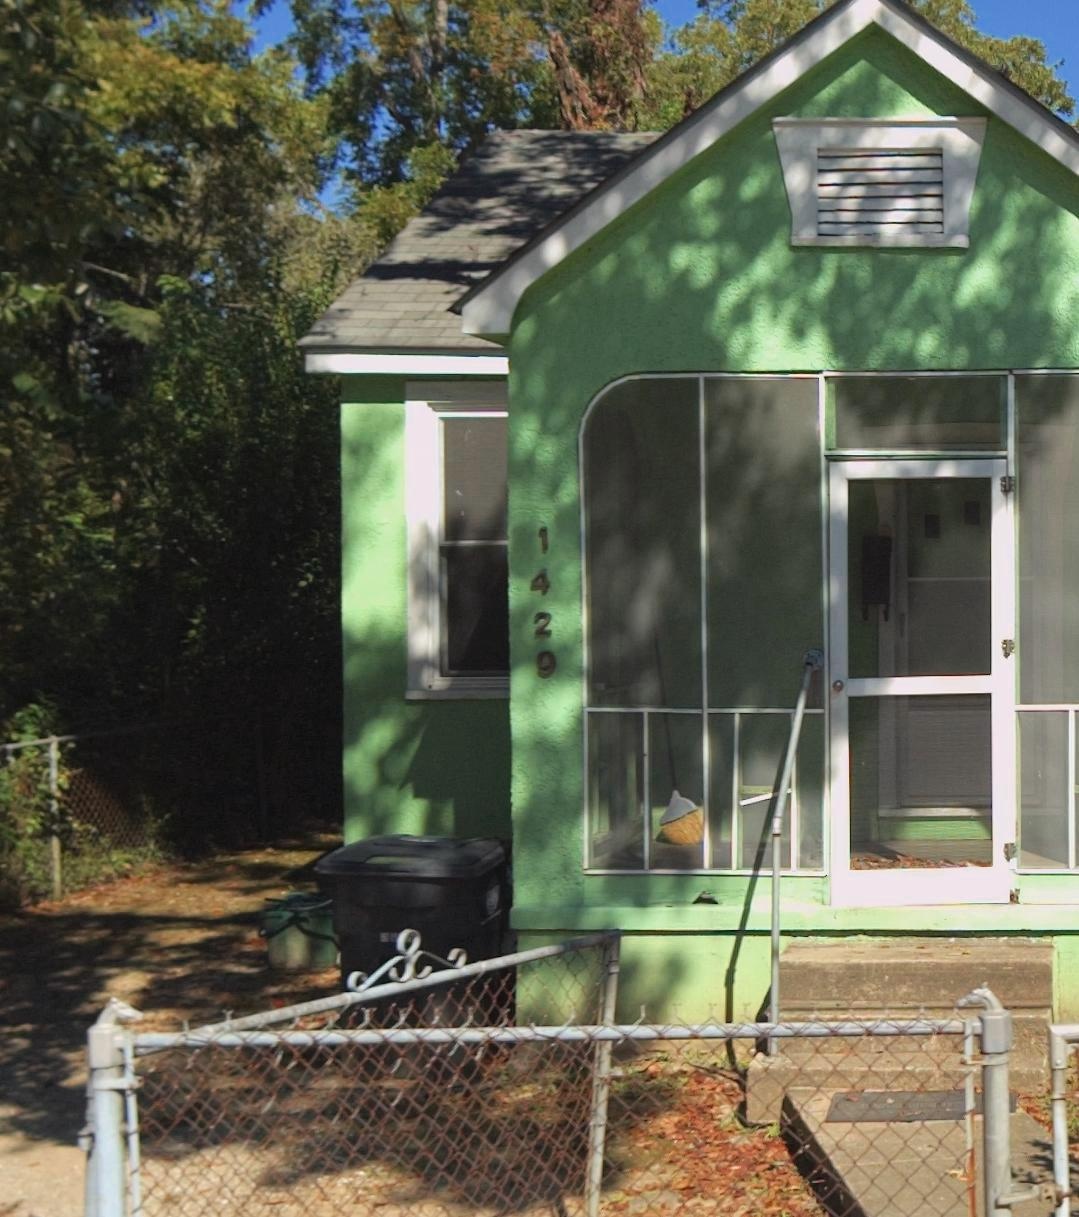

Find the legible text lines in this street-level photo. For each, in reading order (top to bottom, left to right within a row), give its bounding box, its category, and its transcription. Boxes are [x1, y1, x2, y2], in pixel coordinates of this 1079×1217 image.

[526, 523, 559, 682] StreetNumber: 1429